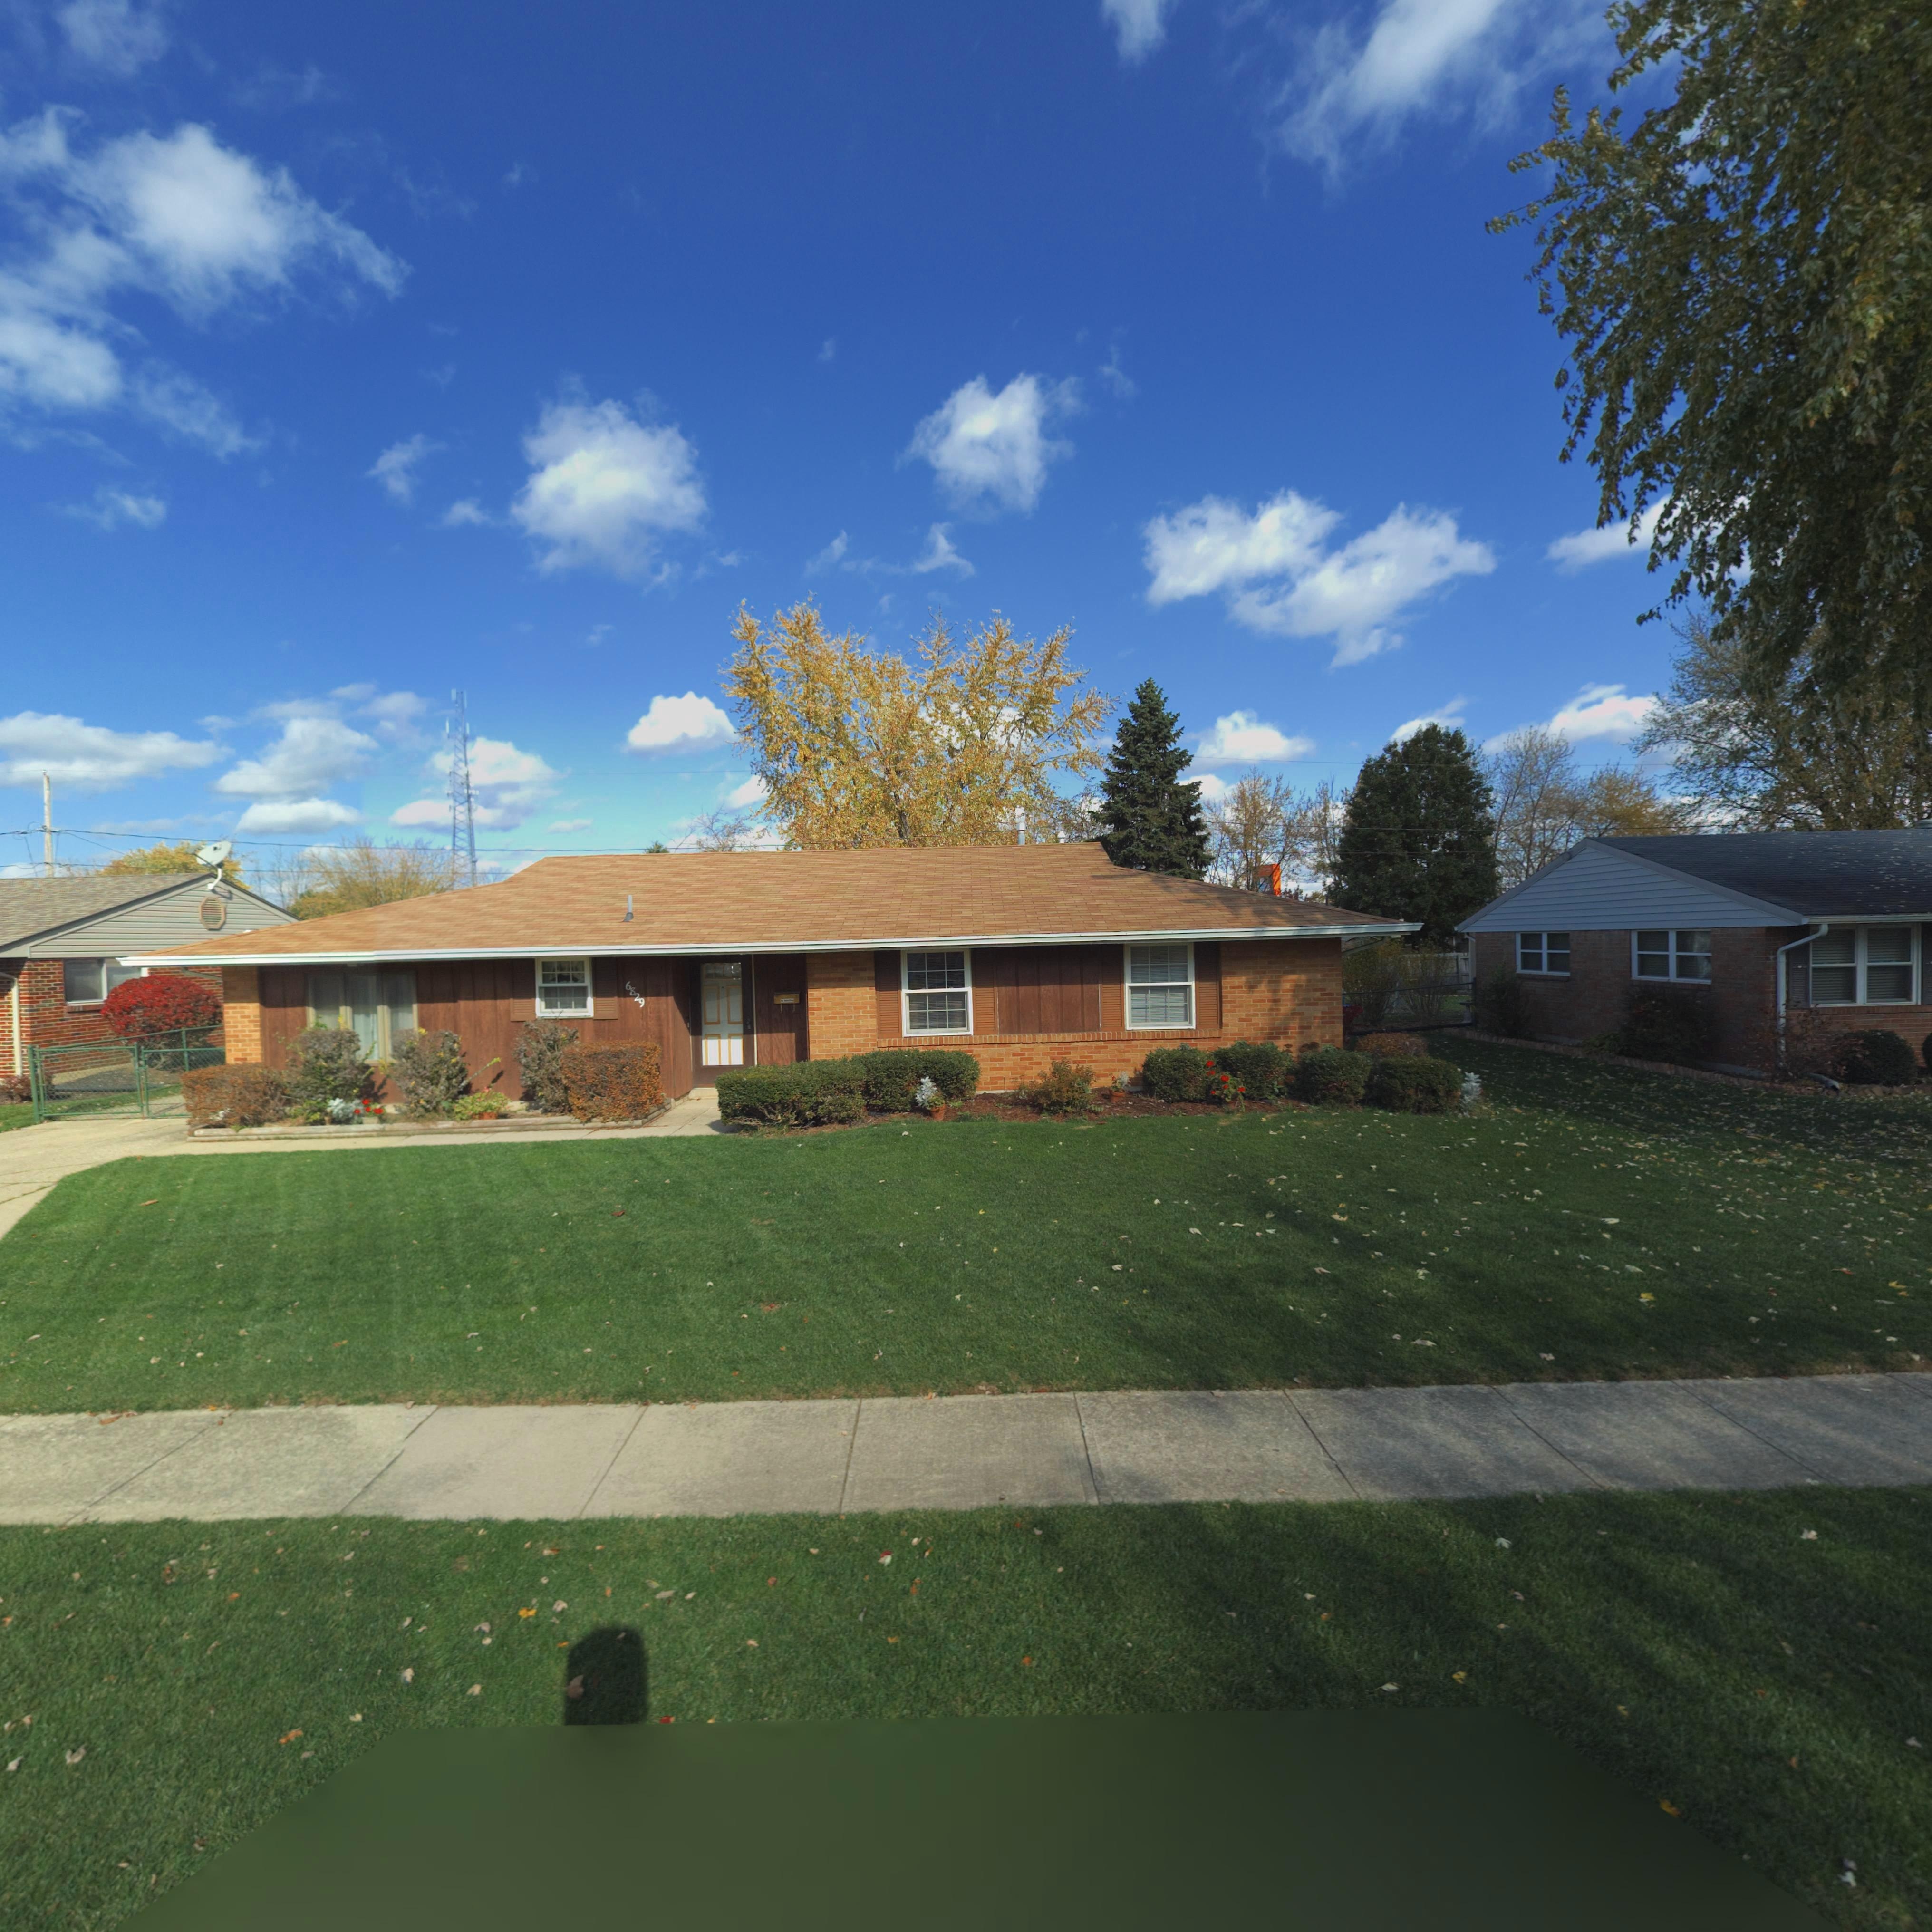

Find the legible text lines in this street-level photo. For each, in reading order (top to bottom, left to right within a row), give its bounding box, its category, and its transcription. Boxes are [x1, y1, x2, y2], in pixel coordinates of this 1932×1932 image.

[624, 980, 645, 1008] StreetNumber: 6829